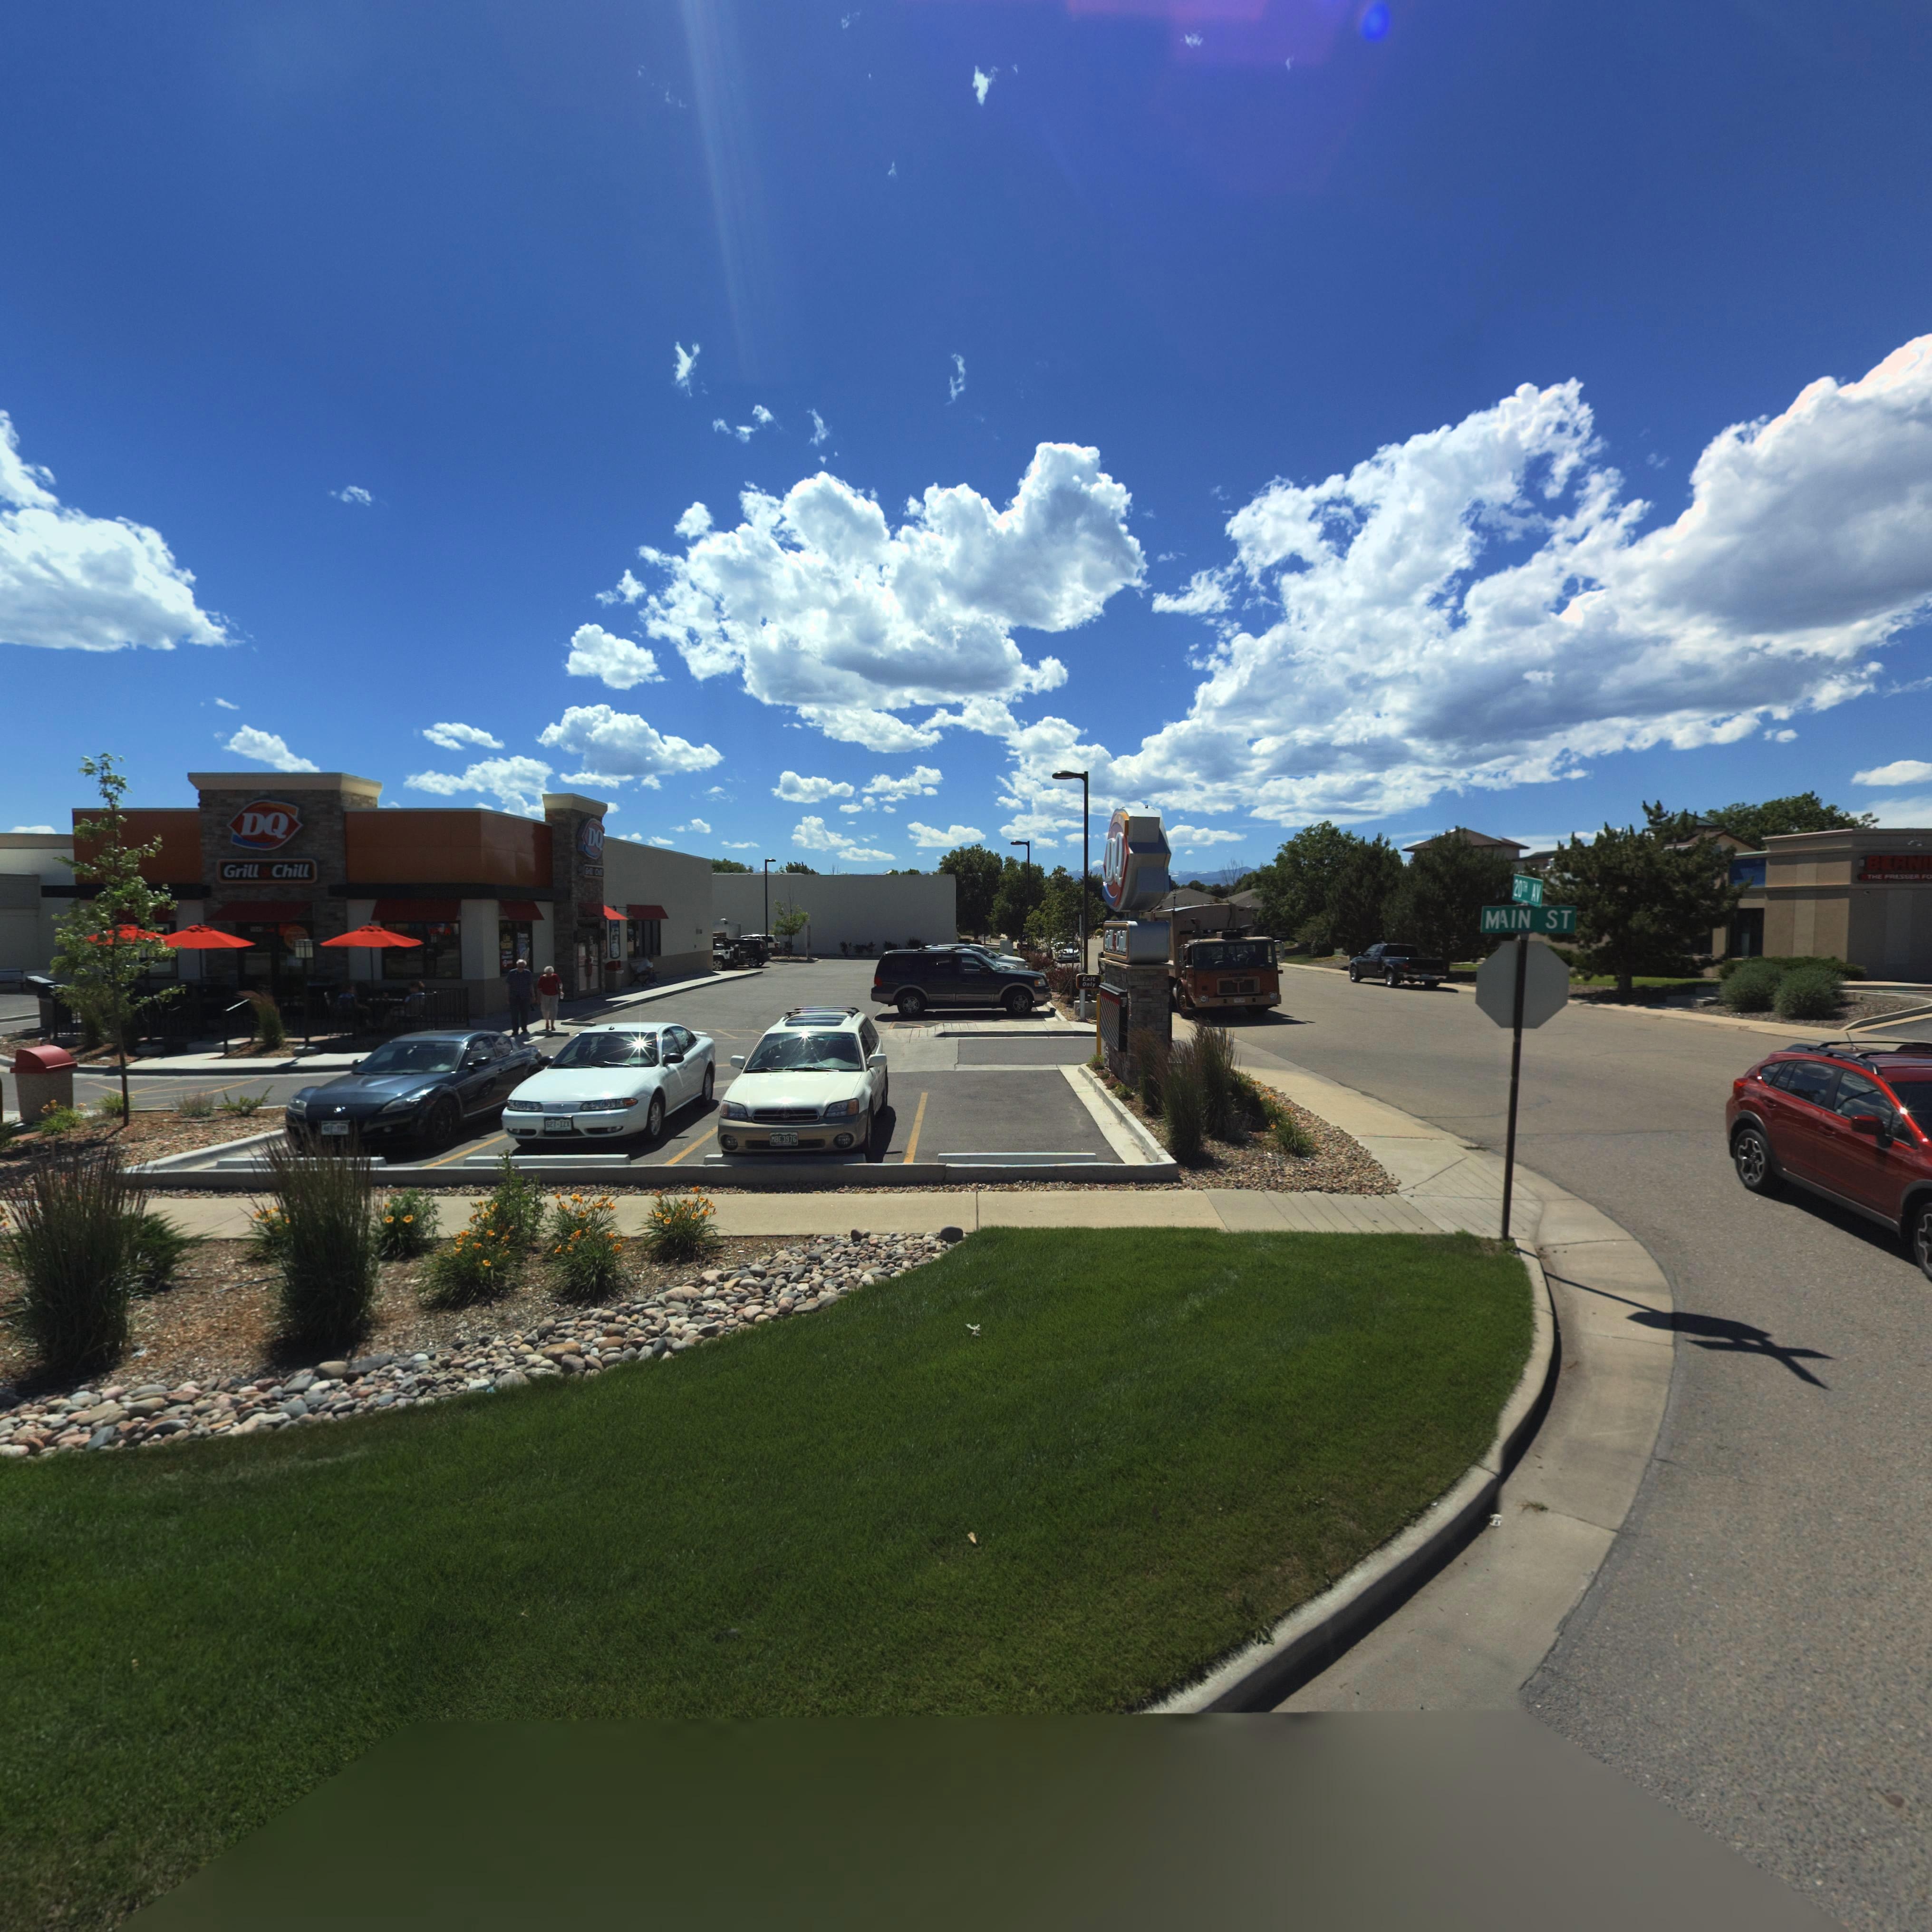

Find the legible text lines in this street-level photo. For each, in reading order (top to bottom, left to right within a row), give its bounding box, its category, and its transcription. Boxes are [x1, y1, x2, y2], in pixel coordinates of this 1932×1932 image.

[240, 811, 289, 839] BusinessName: DQ
[587, 826, 604, 851] BusinessName: DQ
[1104, 831, 1125, 888] BusinessName: DQ
[1866, 855, 1929, 871] BusinessName: BERN*
[1867, 873, 1927, 879] BusinessName: THE PRESSER F
[1512, 878, 1542, 903] StreetName: 20TH AV
[1485, 909, 1572, 929] StreetName: M*IN ST